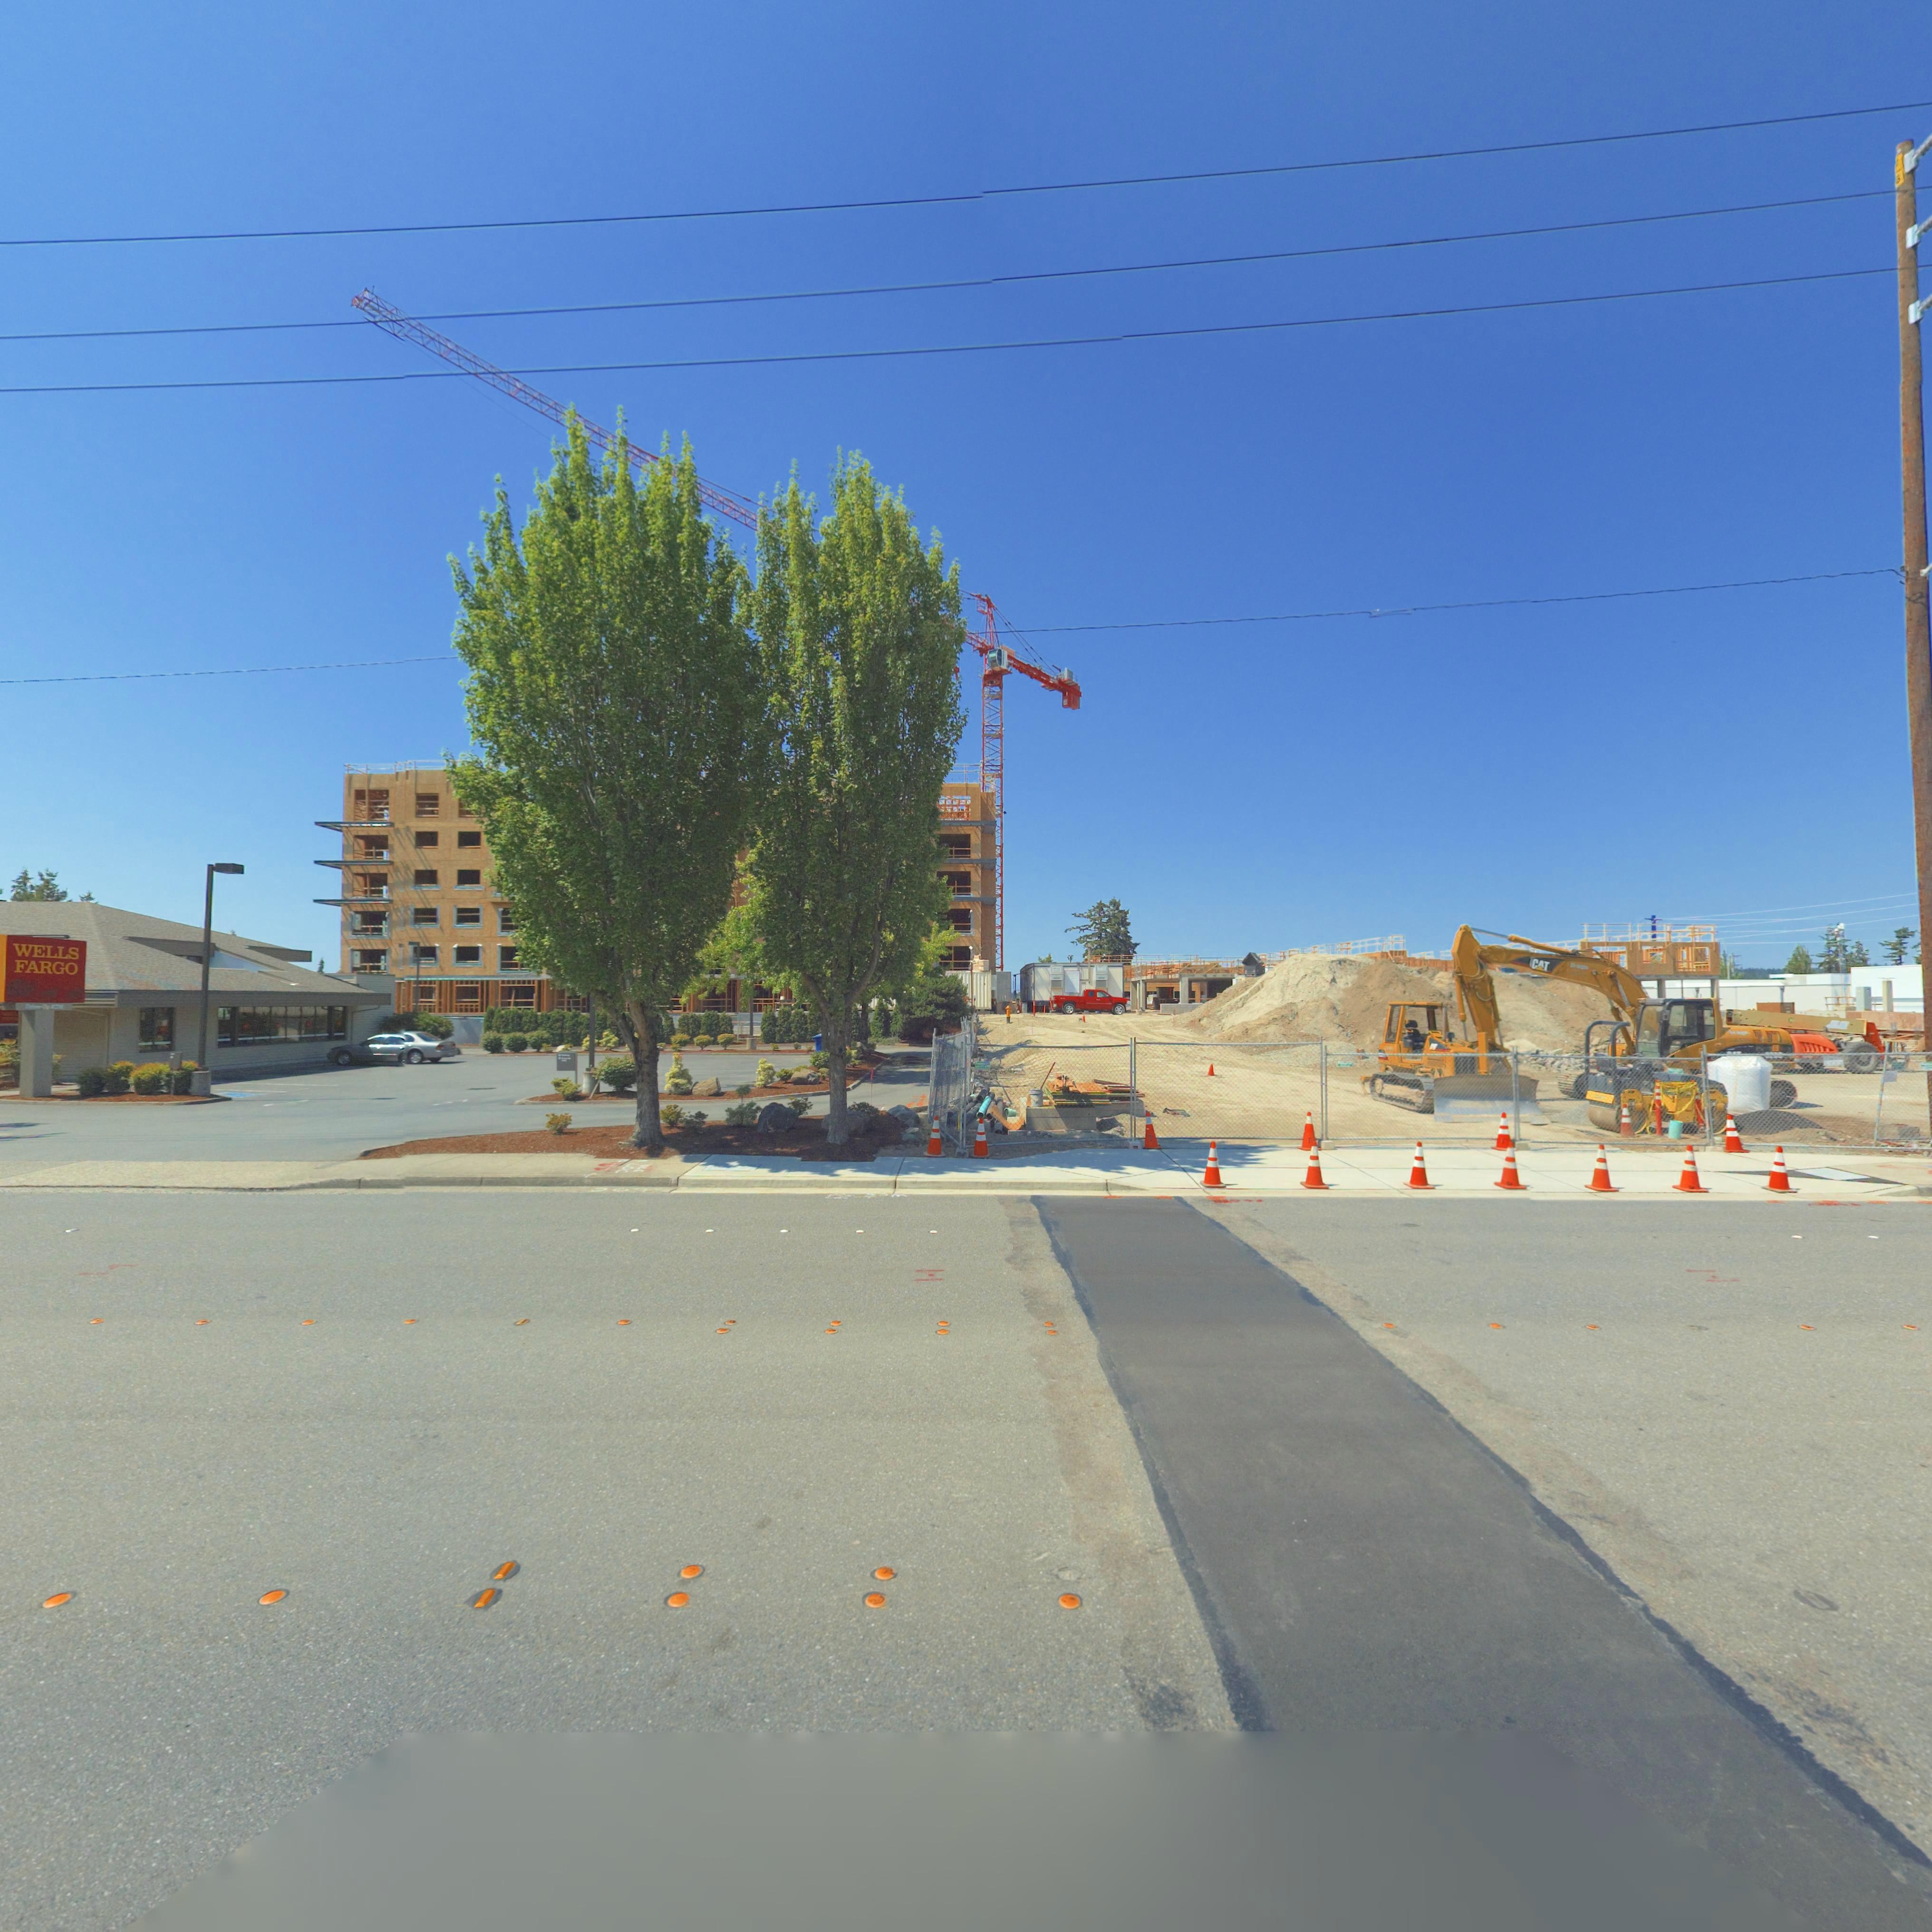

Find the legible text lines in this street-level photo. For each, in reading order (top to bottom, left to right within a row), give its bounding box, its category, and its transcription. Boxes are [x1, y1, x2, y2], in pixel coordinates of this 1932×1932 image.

[14, 943, 78, 959] BusinessName: WELLS
[14, 959, 78, 975] BusinessName: FARGO